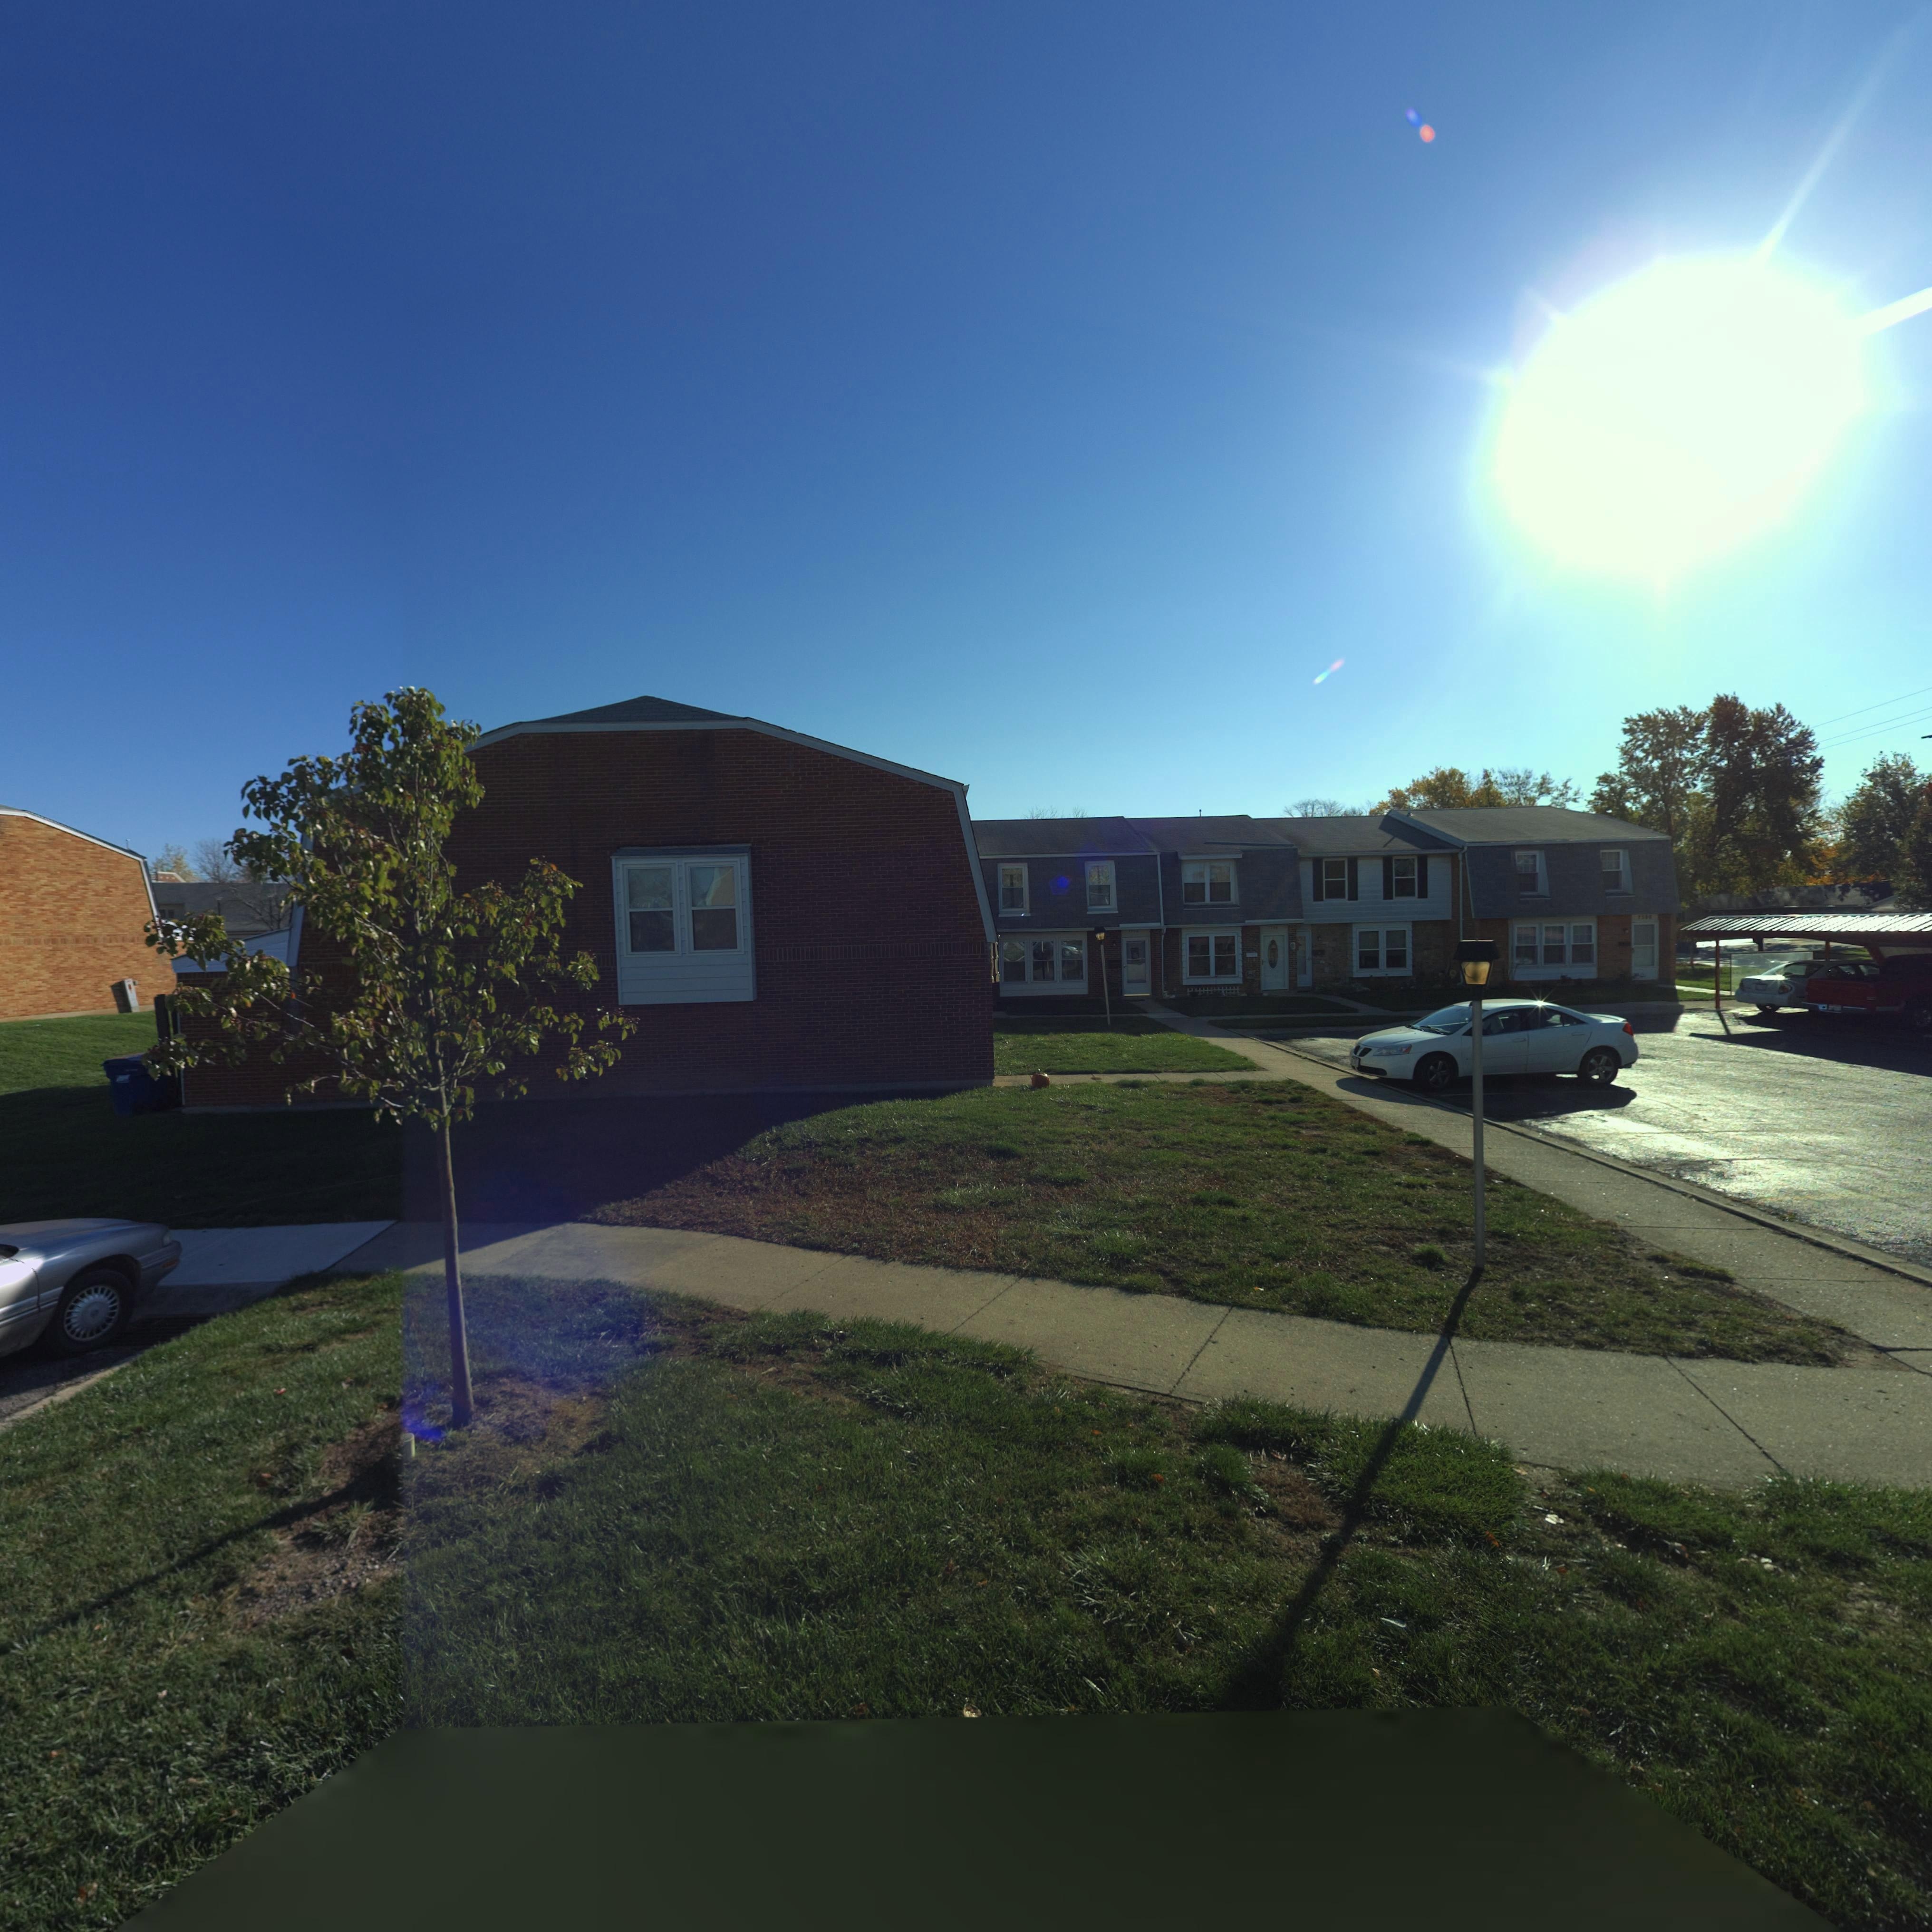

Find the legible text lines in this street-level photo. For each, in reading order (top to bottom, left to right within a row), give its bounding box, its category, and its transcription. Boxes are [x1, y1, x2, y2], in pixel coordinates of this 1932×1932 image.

[1637, 914, 1652, 920] StreetNumber: 7*0*
[1267, 925, 1273, 929] StreetNumber: 75